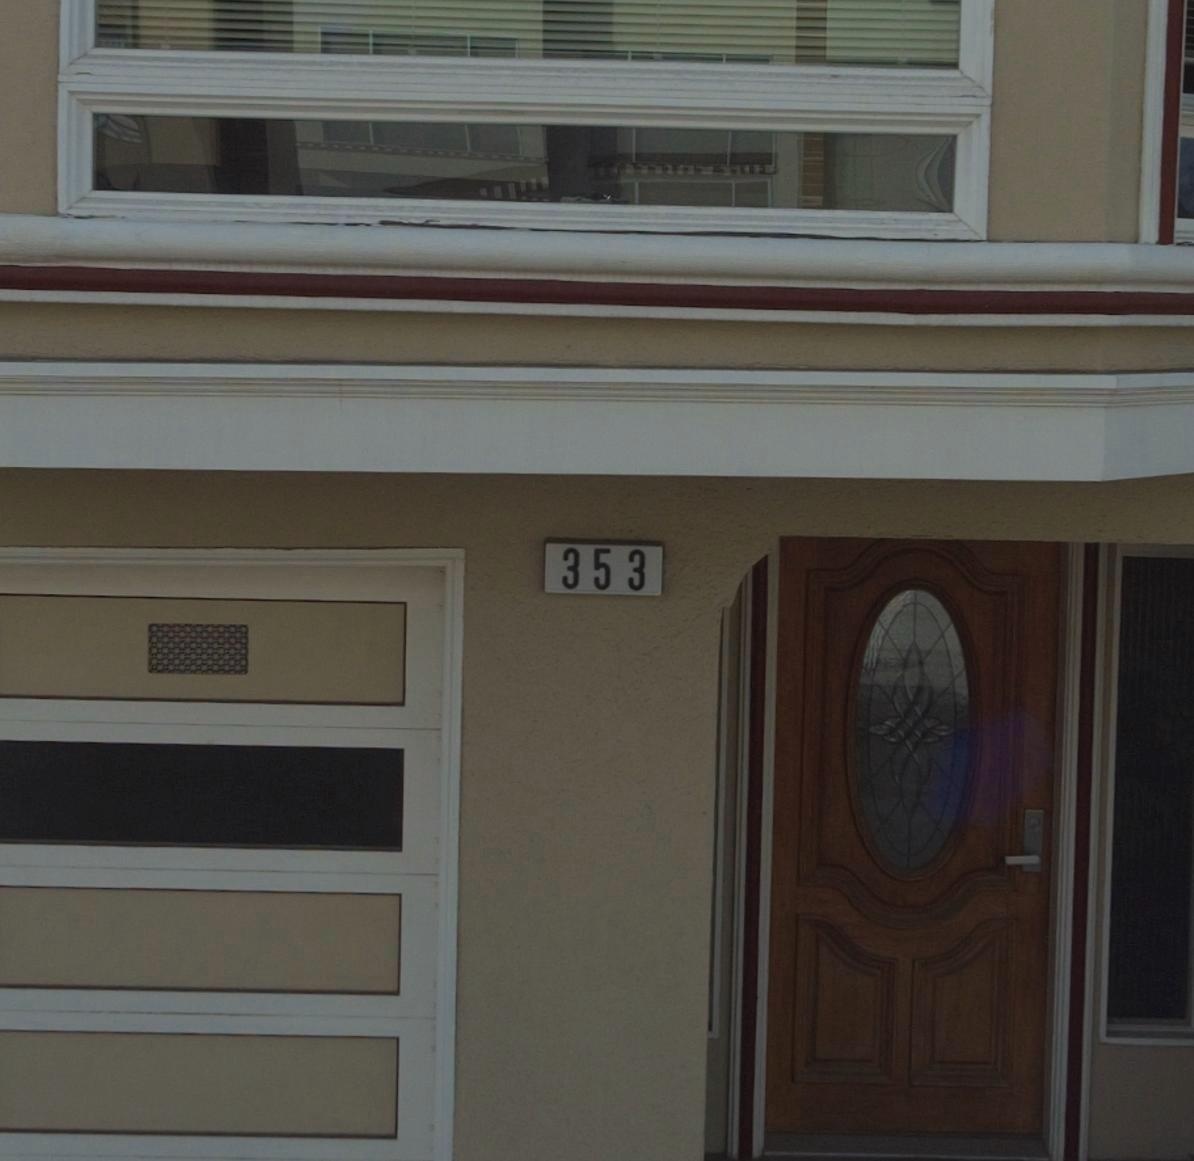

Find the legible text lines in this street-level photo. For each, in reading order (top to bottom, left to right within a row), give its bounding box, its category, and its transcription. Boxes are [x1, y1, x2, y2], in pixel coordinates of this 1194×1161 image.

[560, 545, 648, 592] StreetNumber: 353